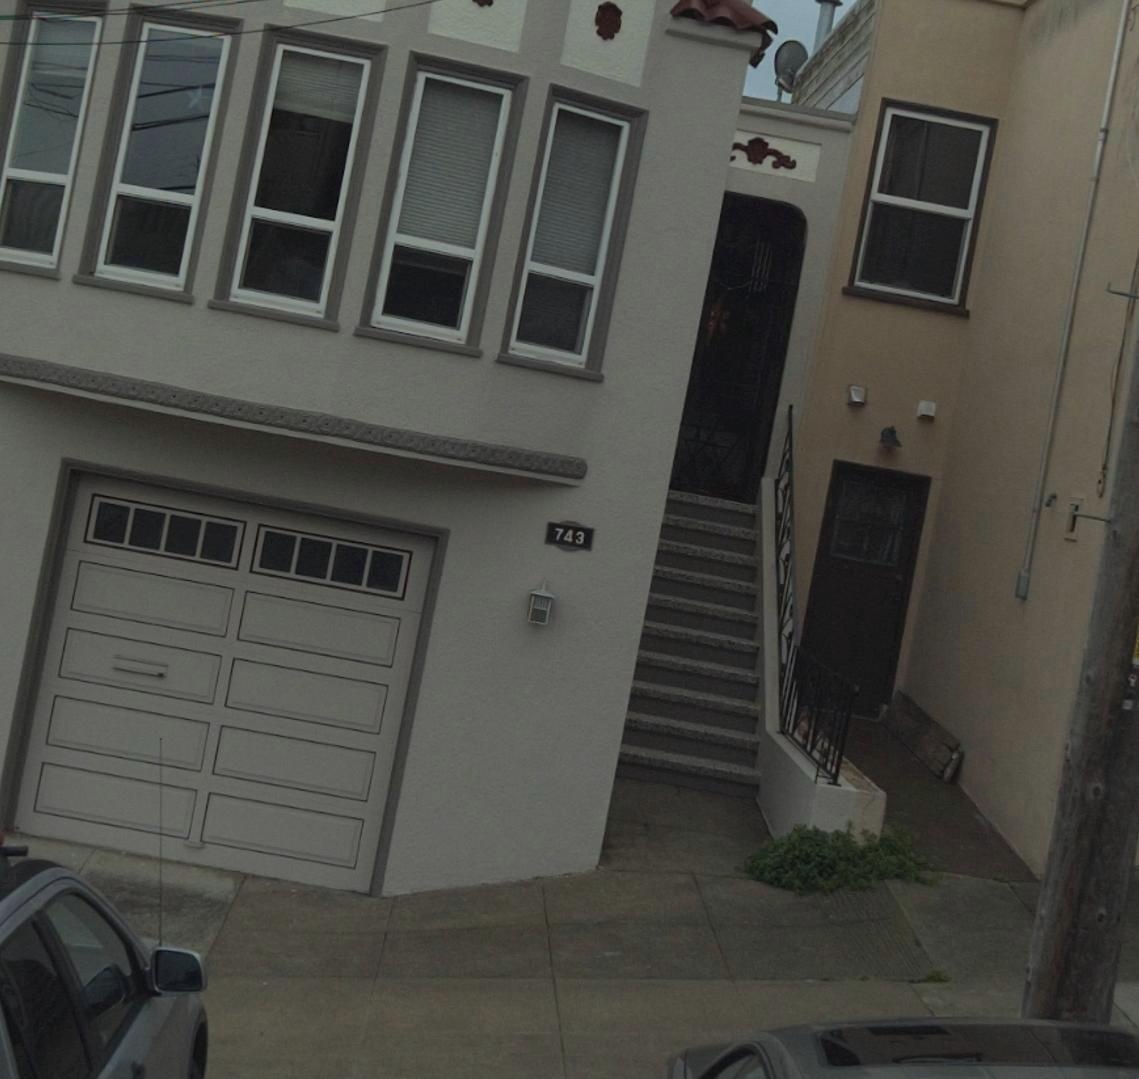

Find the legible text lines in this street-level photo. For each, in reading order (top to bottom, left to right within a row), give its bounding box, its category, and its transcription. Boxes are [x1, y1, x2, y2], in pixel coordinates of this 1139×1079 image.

[553, 526, 586, 546] StreetNumber: 743